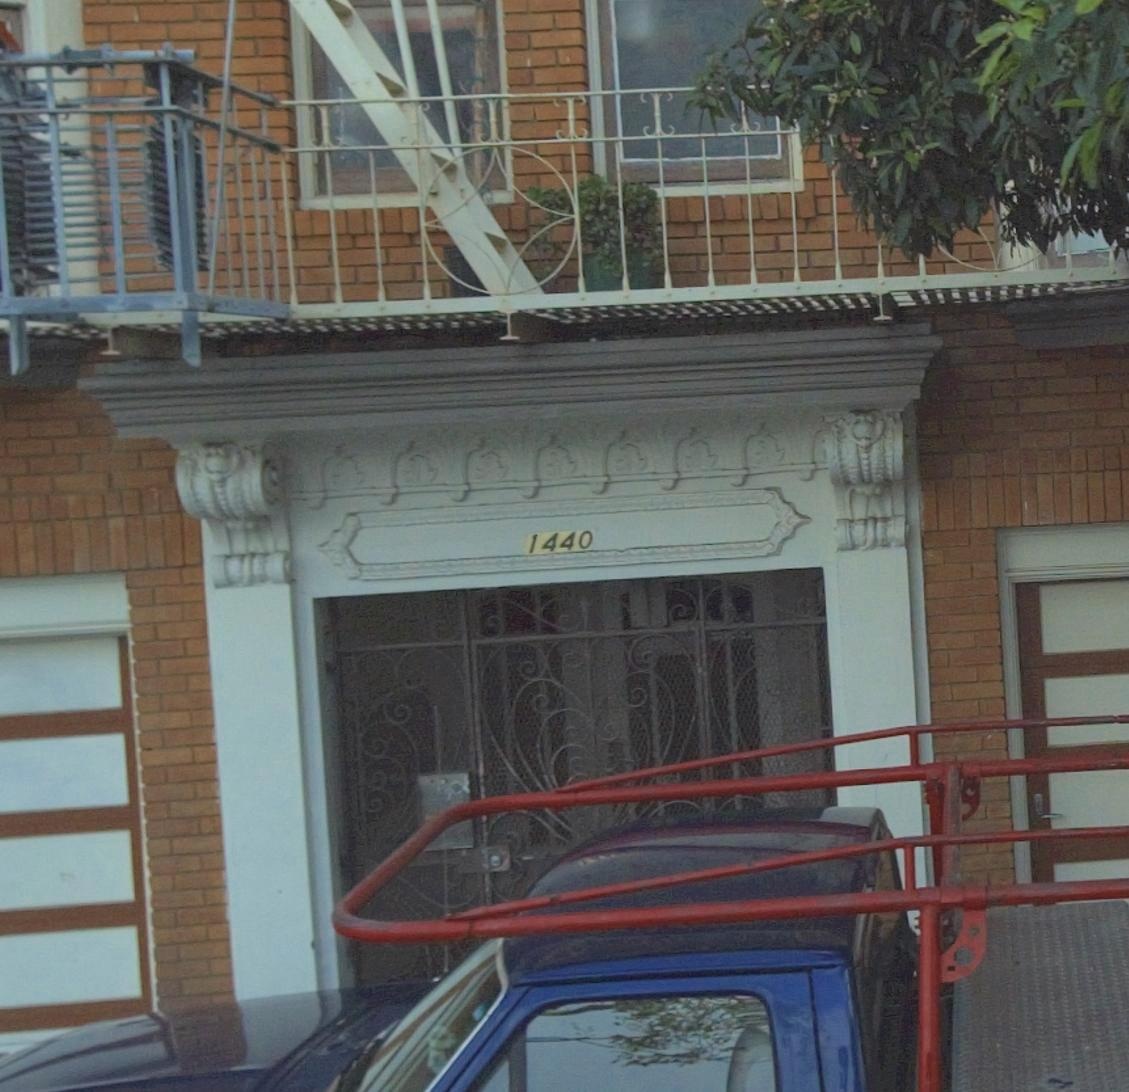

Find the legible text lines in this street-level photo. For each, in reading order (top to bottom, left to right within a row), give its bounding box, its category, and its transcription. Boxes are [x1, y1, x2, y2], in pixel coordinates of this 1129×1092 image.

[525, 527, 597, 556] StreetNumber: 1440